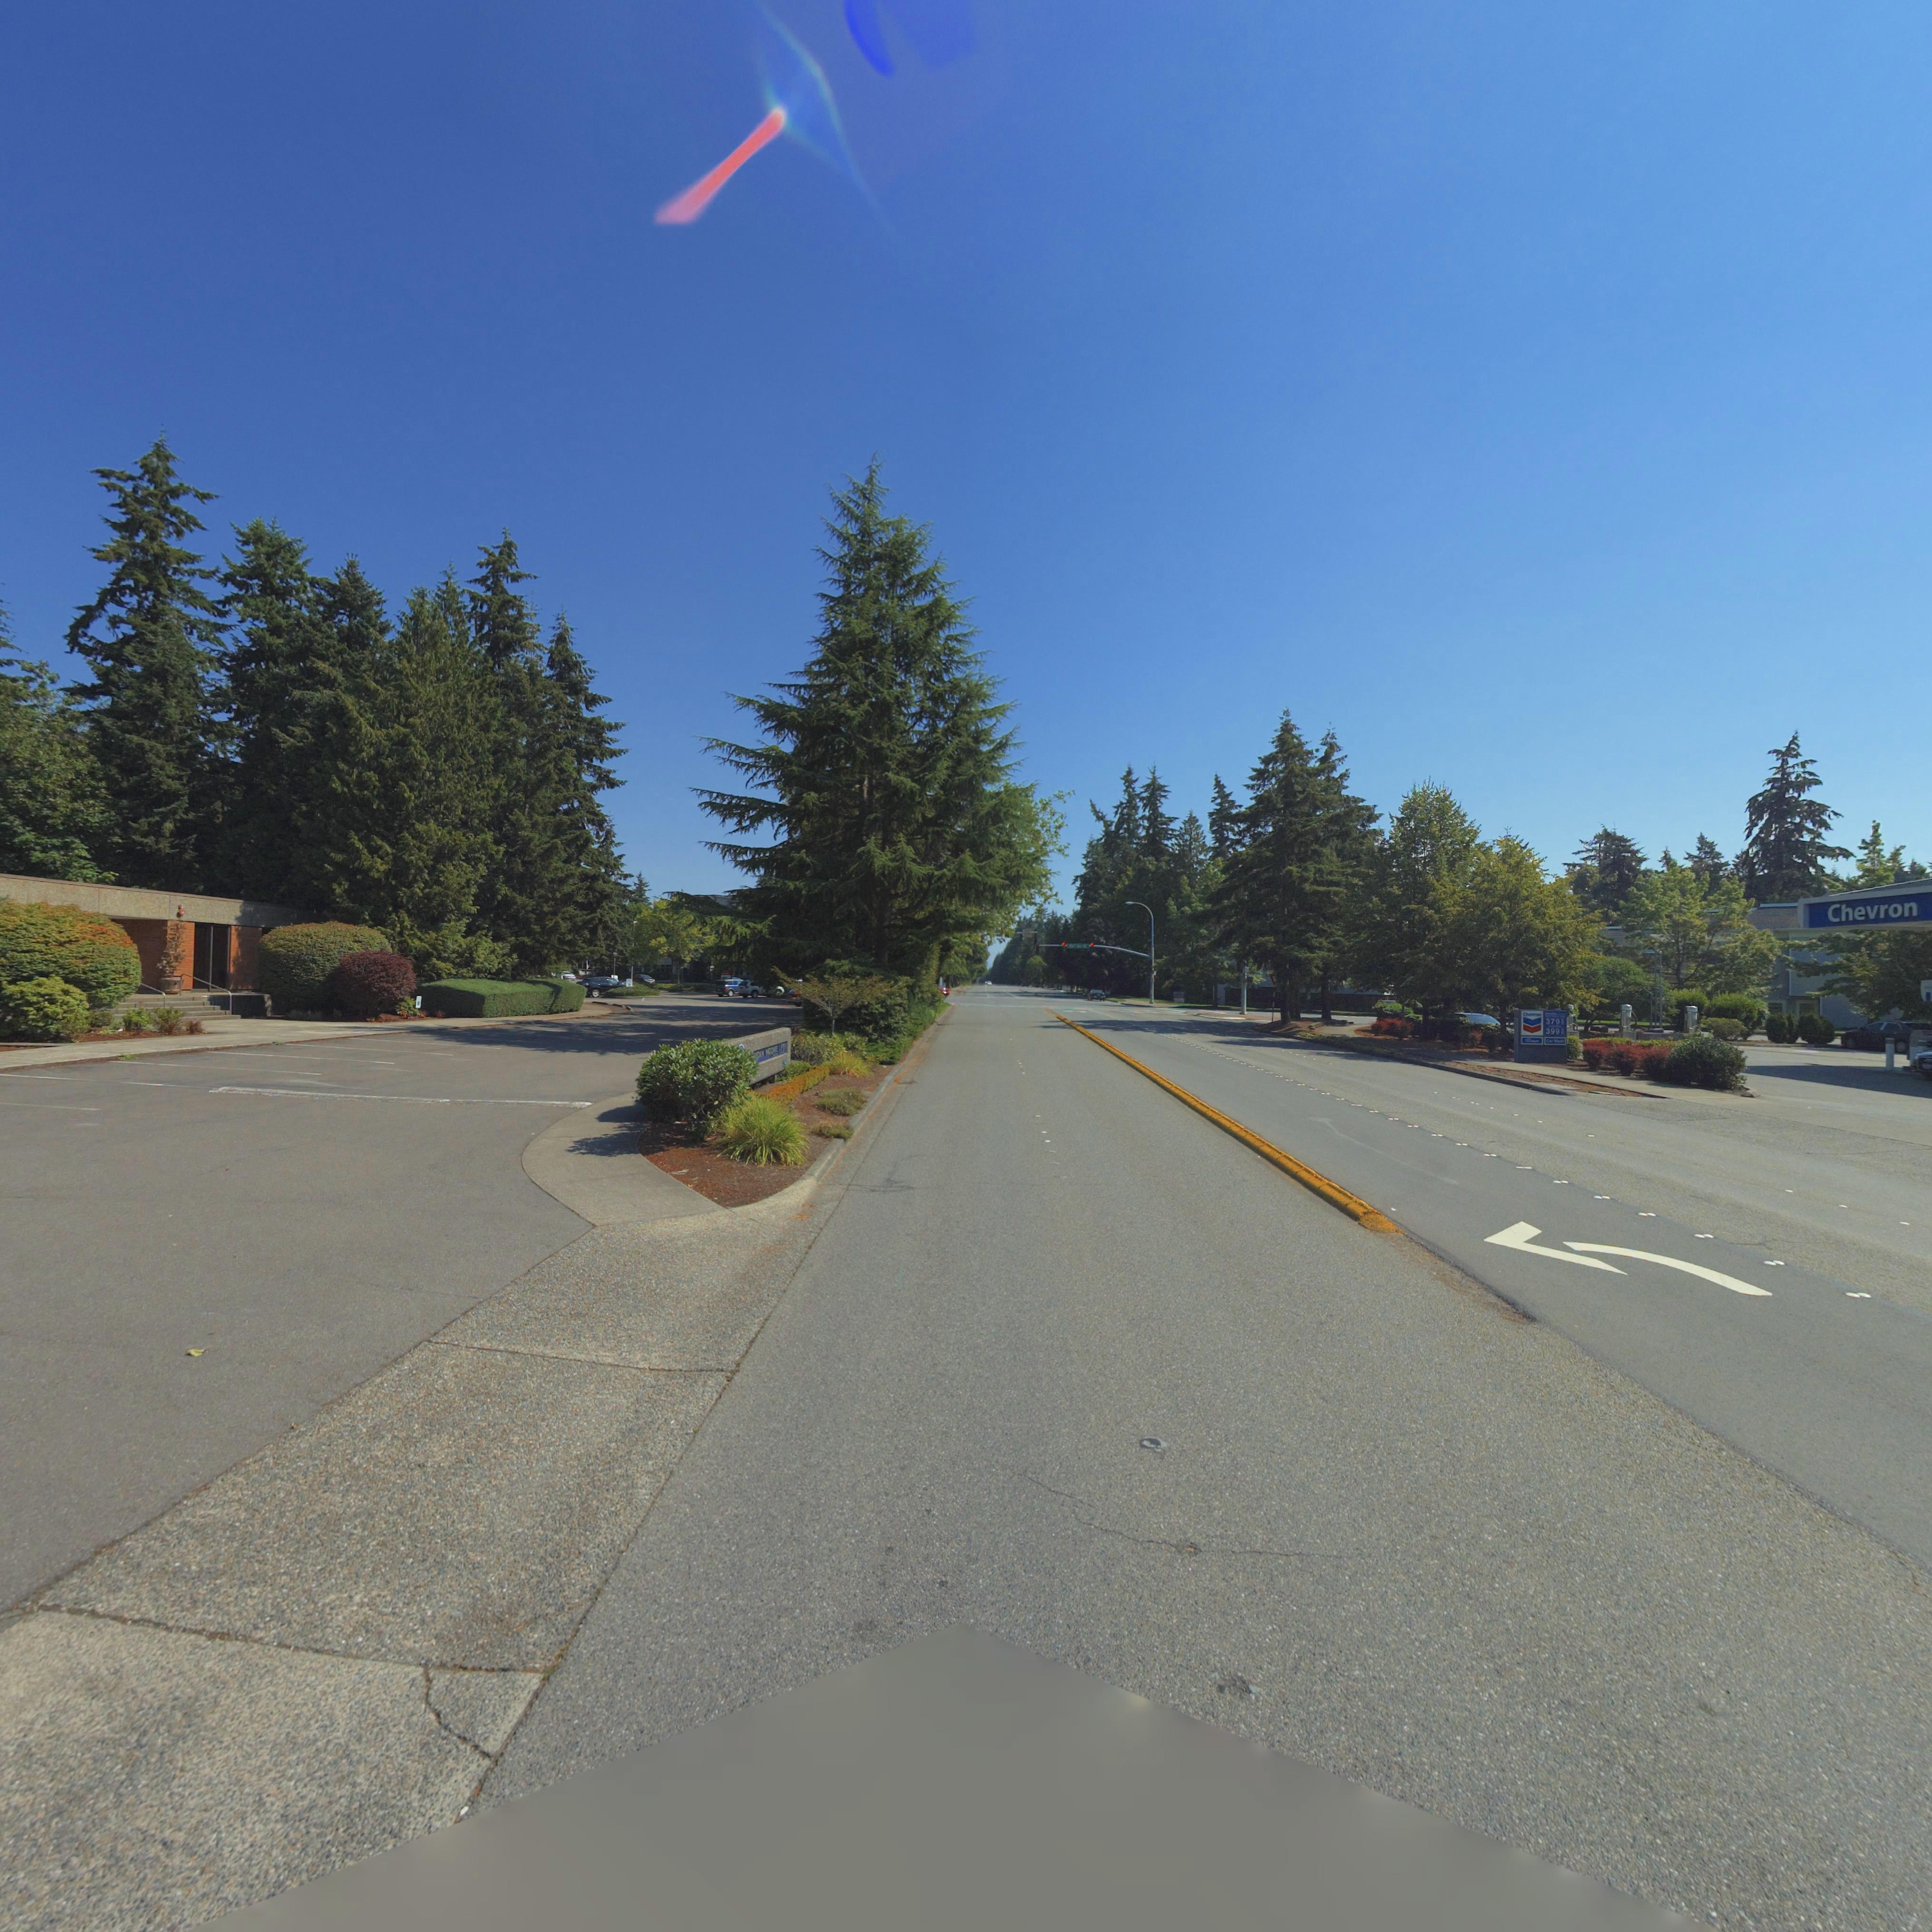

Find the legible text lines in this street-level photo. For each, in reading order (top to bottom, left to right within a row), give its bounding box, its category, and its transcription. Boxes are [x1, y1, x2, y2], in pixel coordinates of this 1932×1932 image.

[1826, 902, 1917, 922] BusinessName: Chevron